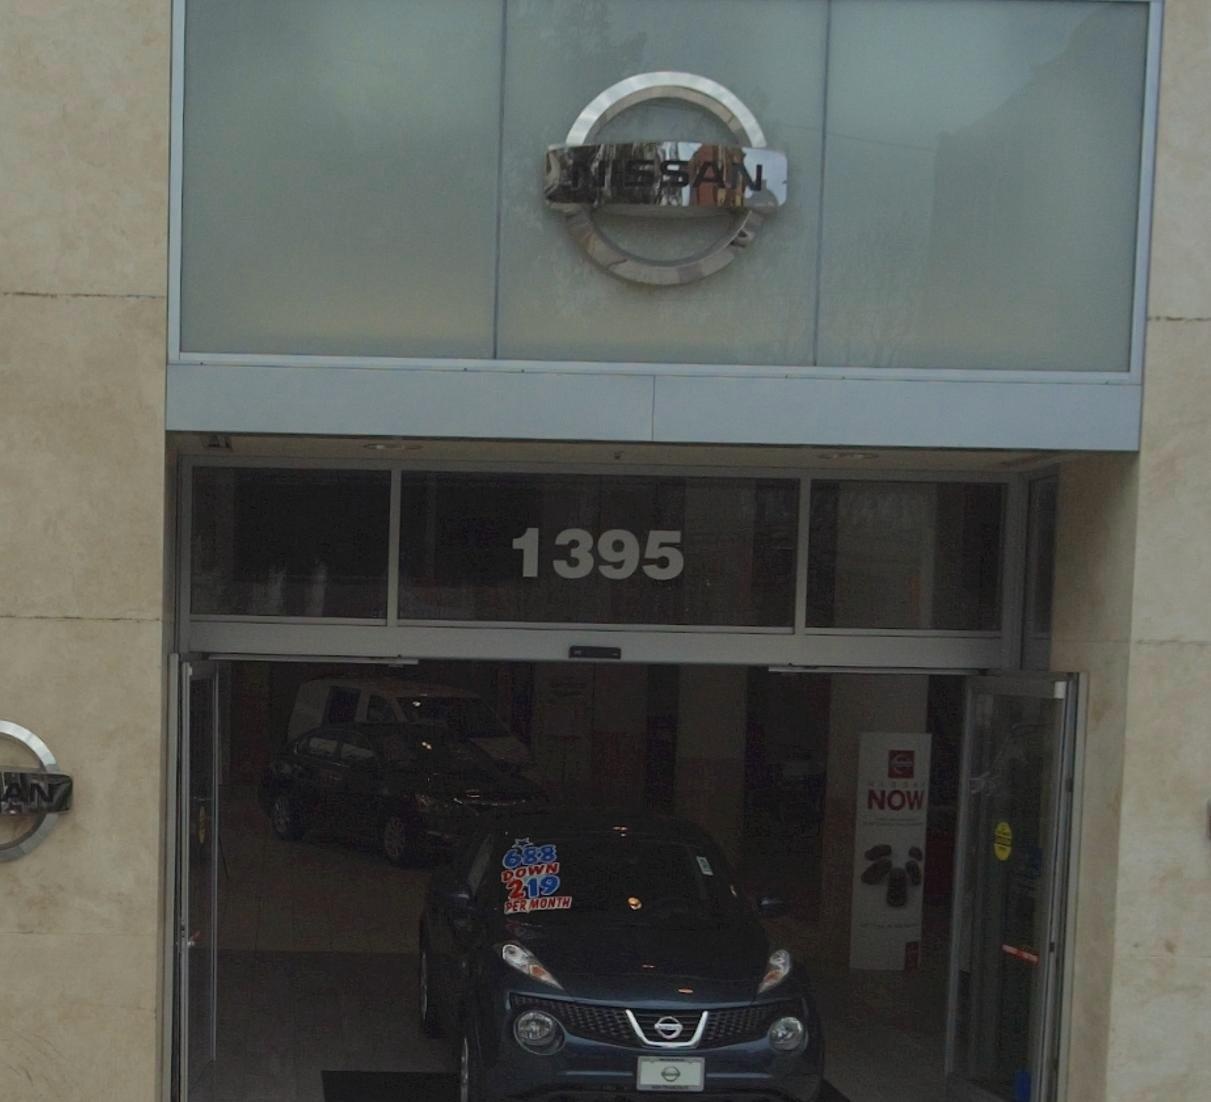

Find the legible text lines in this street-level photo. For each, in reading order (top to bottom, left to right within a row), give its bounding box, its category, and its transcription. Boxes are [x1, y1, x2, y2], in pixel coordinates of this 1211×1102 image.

[571, 158, 763, 192] BusinessName: NISSAN
[508, 524, 685, 582] StreetNumber: 1395
[0, 781, 54, 804] BusinessName: AN
[865, 786, 927, 811] None: NOW
[500, 844, 558, 870] None: 688
[500, 861, 560, 883] None: DOWN
[504, 874, 562, 902] None: 219
[502, 894, 573, 916] None: PER MONTH